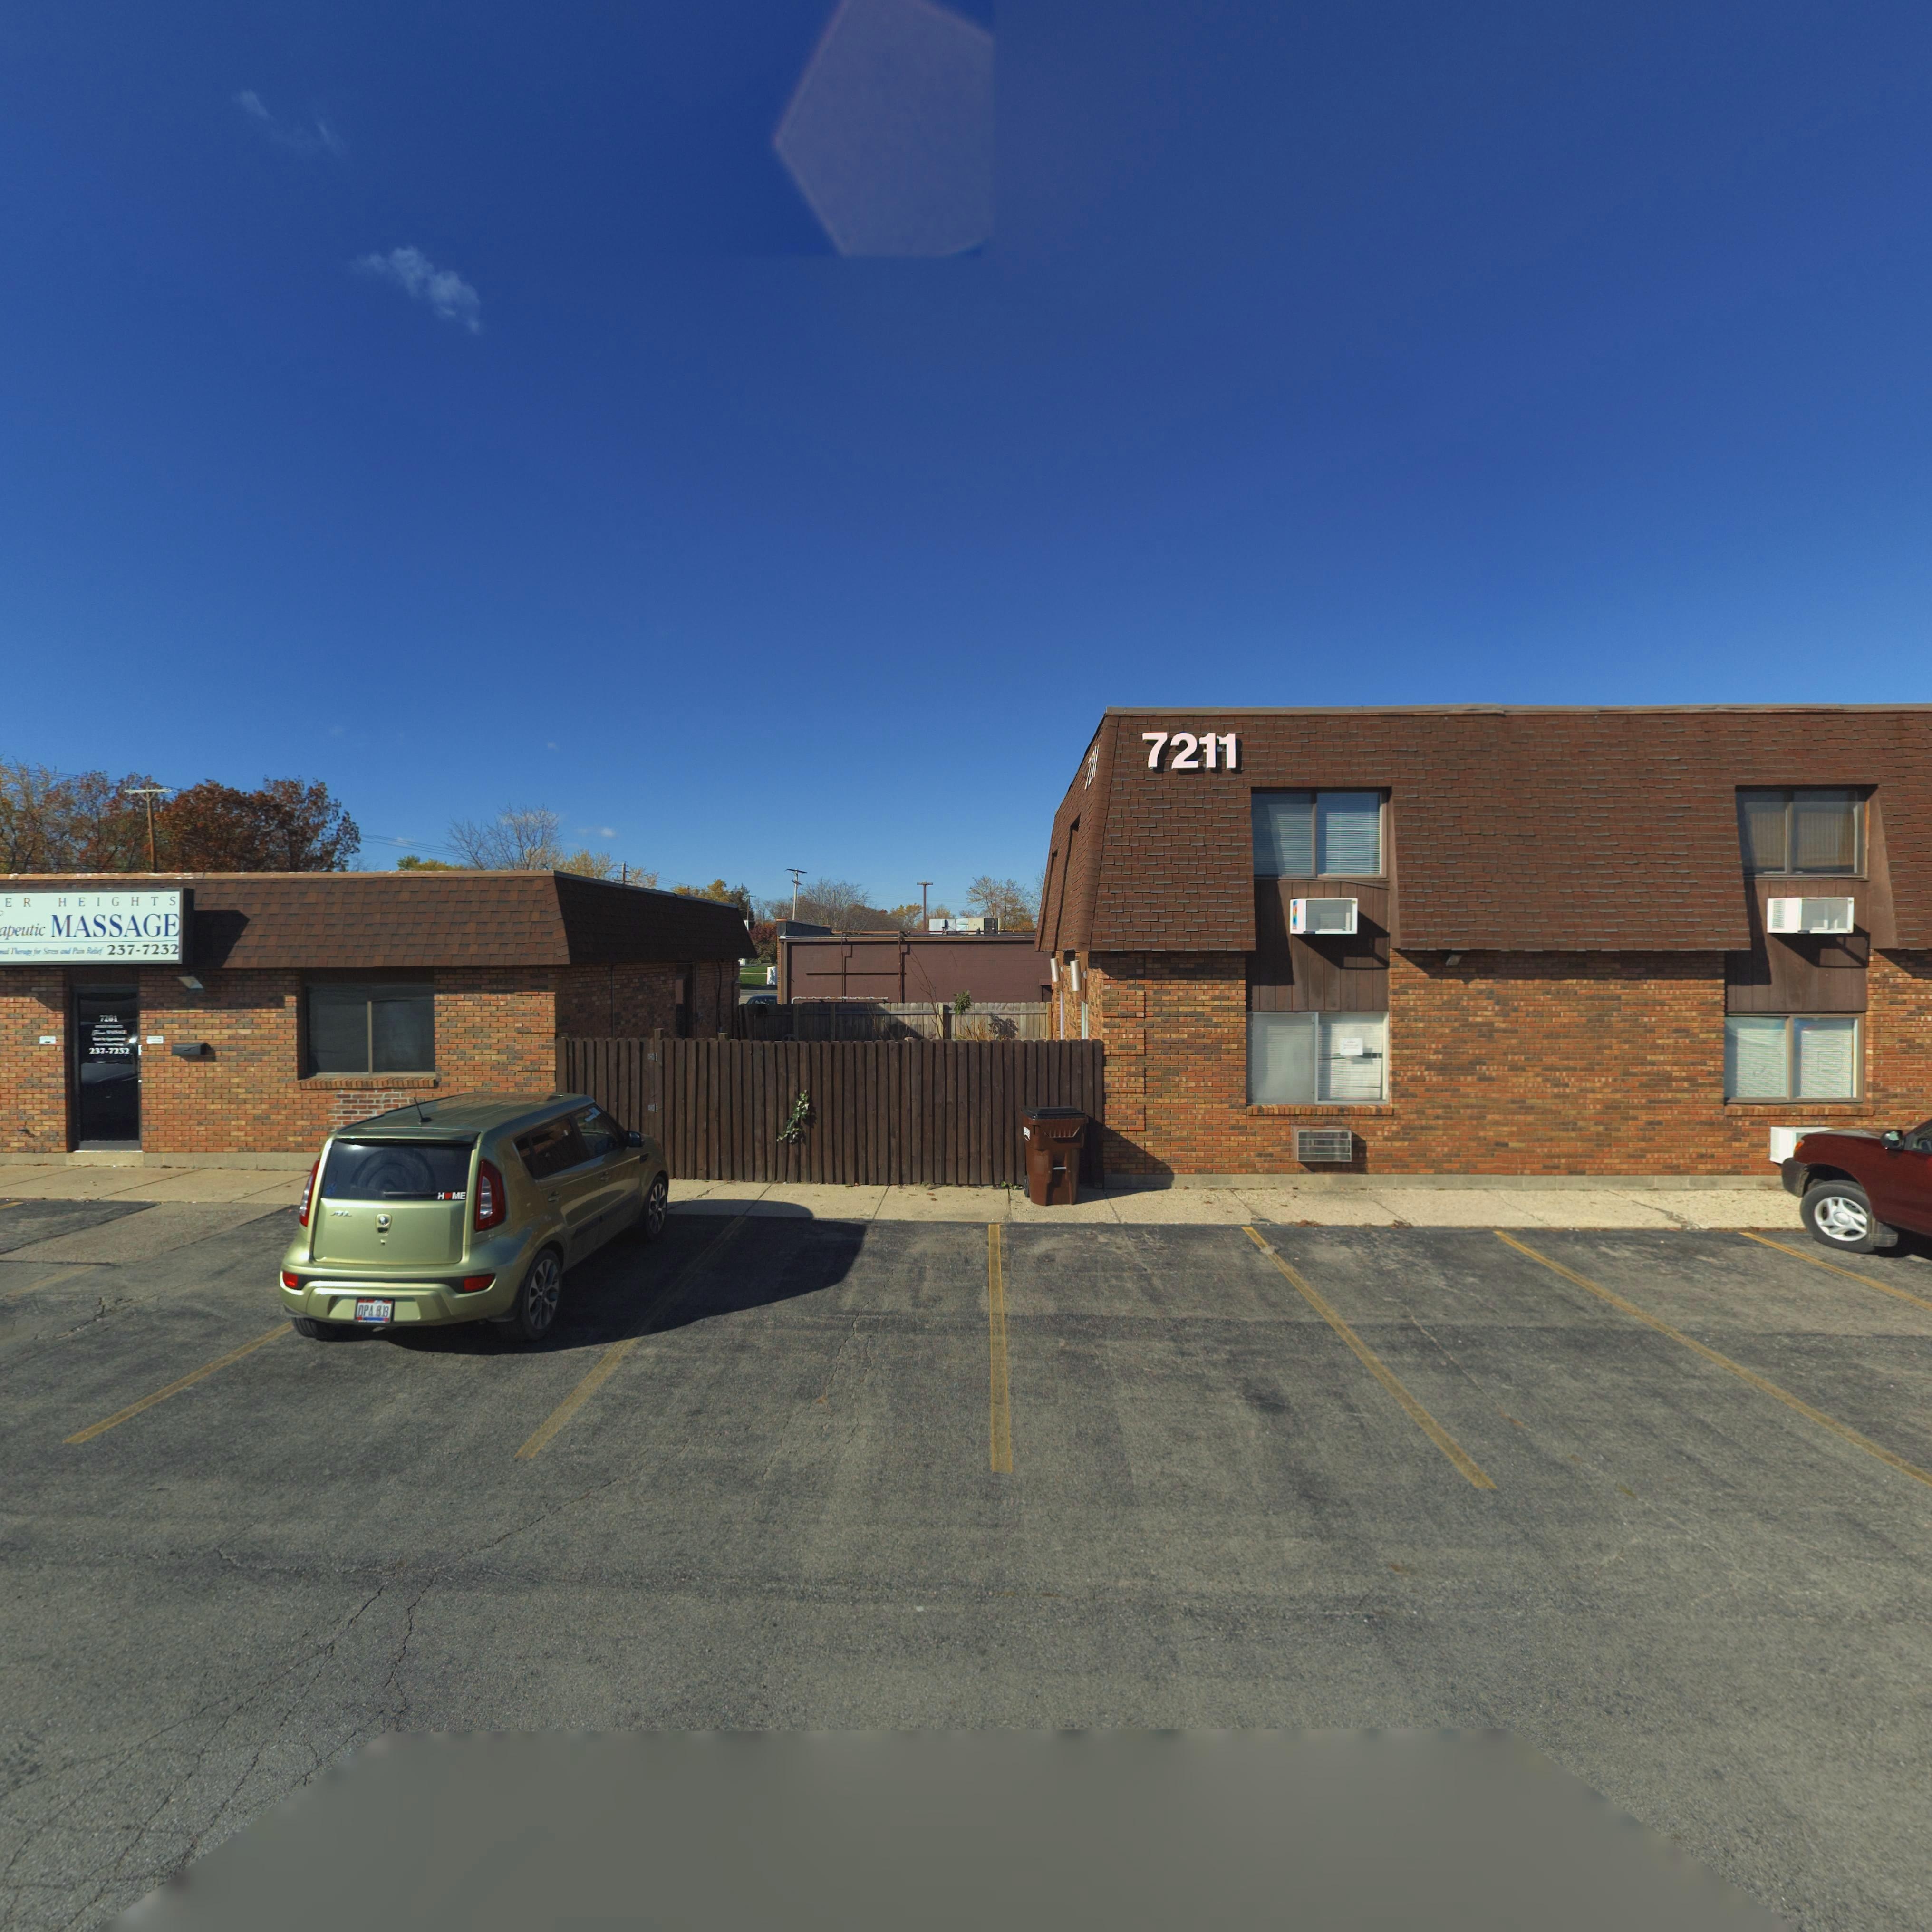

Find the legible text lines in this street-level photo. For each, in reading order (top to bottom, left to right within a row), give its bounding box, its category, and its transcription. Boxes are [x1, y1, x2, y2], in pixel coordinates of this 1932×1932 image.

[1141, 732, 1237, 769] StreetNumber: 7211
[1083, 742, 1100, 791] StreetNumber: 7*11
[4, 896, 177, 908] BusinessName: ER HEIGHTS
[4, 912, 181, 941] BusinessName: peutic MASSAGE
[98, 1014, 118, 1023] StreetNumber: 7201